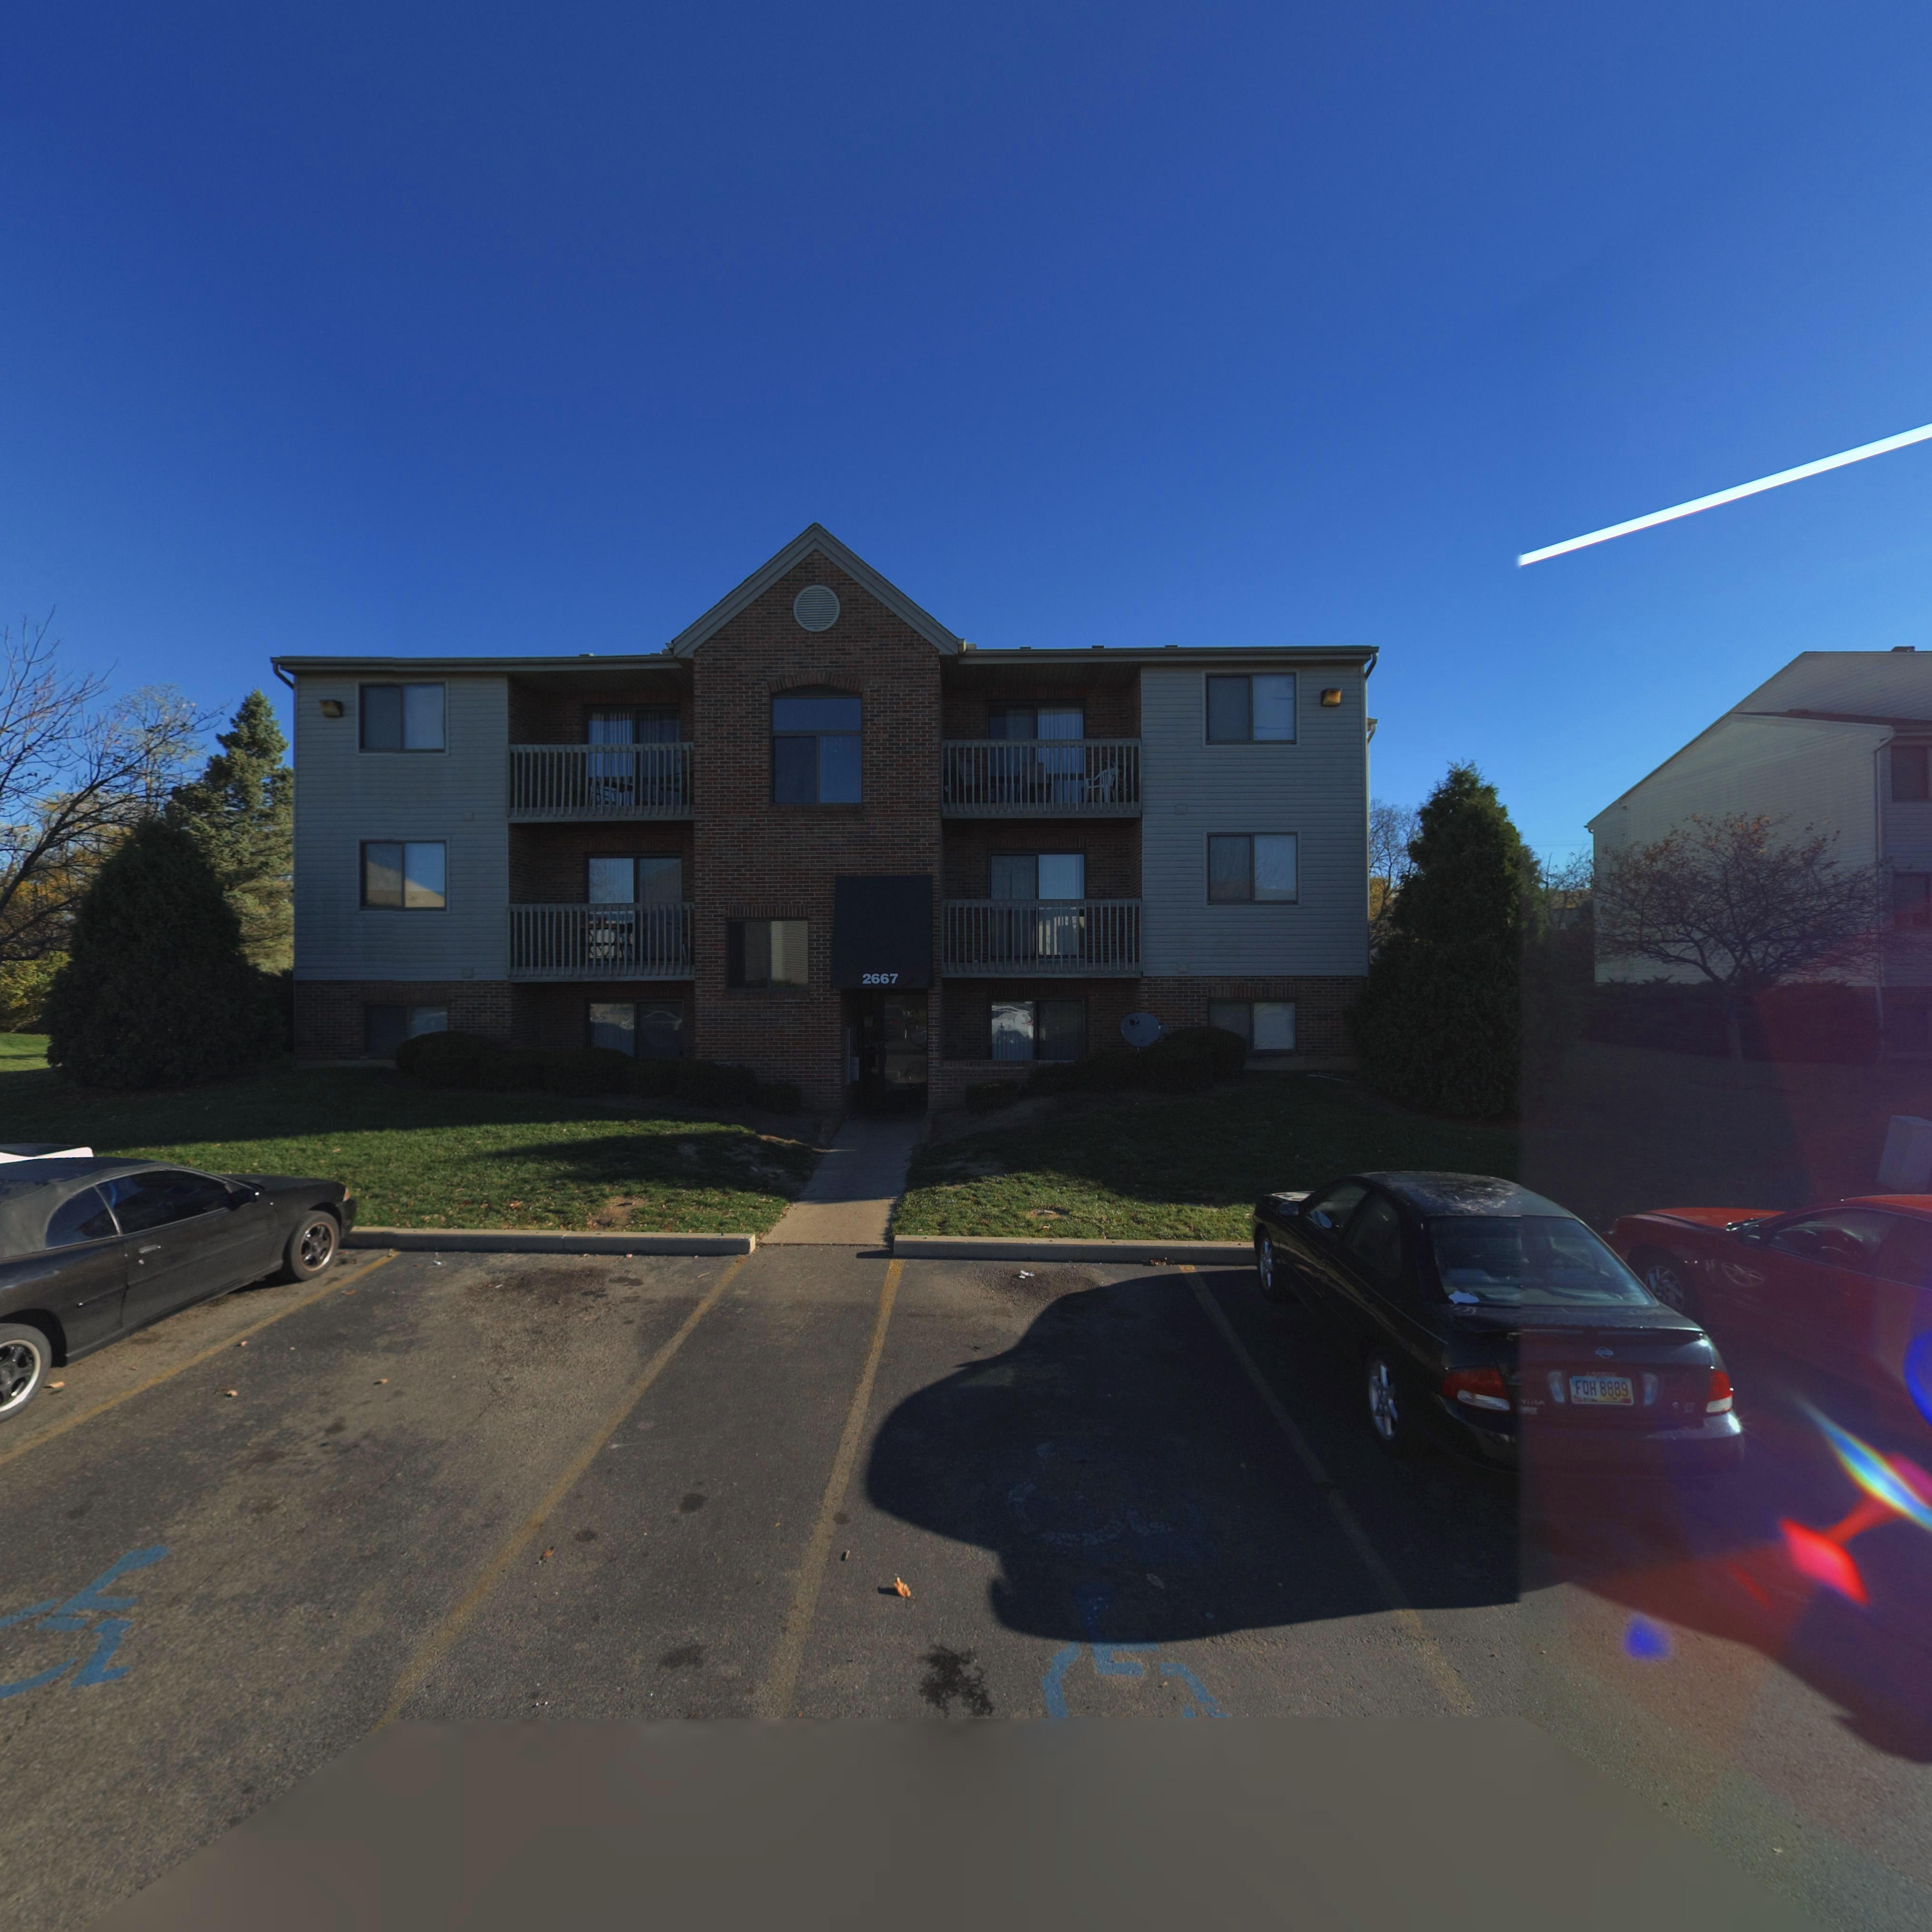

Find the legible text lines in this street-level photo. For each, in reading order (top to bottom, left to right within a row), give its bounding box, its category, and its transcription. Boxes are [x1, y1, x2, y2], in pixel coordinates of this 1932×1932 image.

[862, 973, 898, 984] StreetNumber: 2667